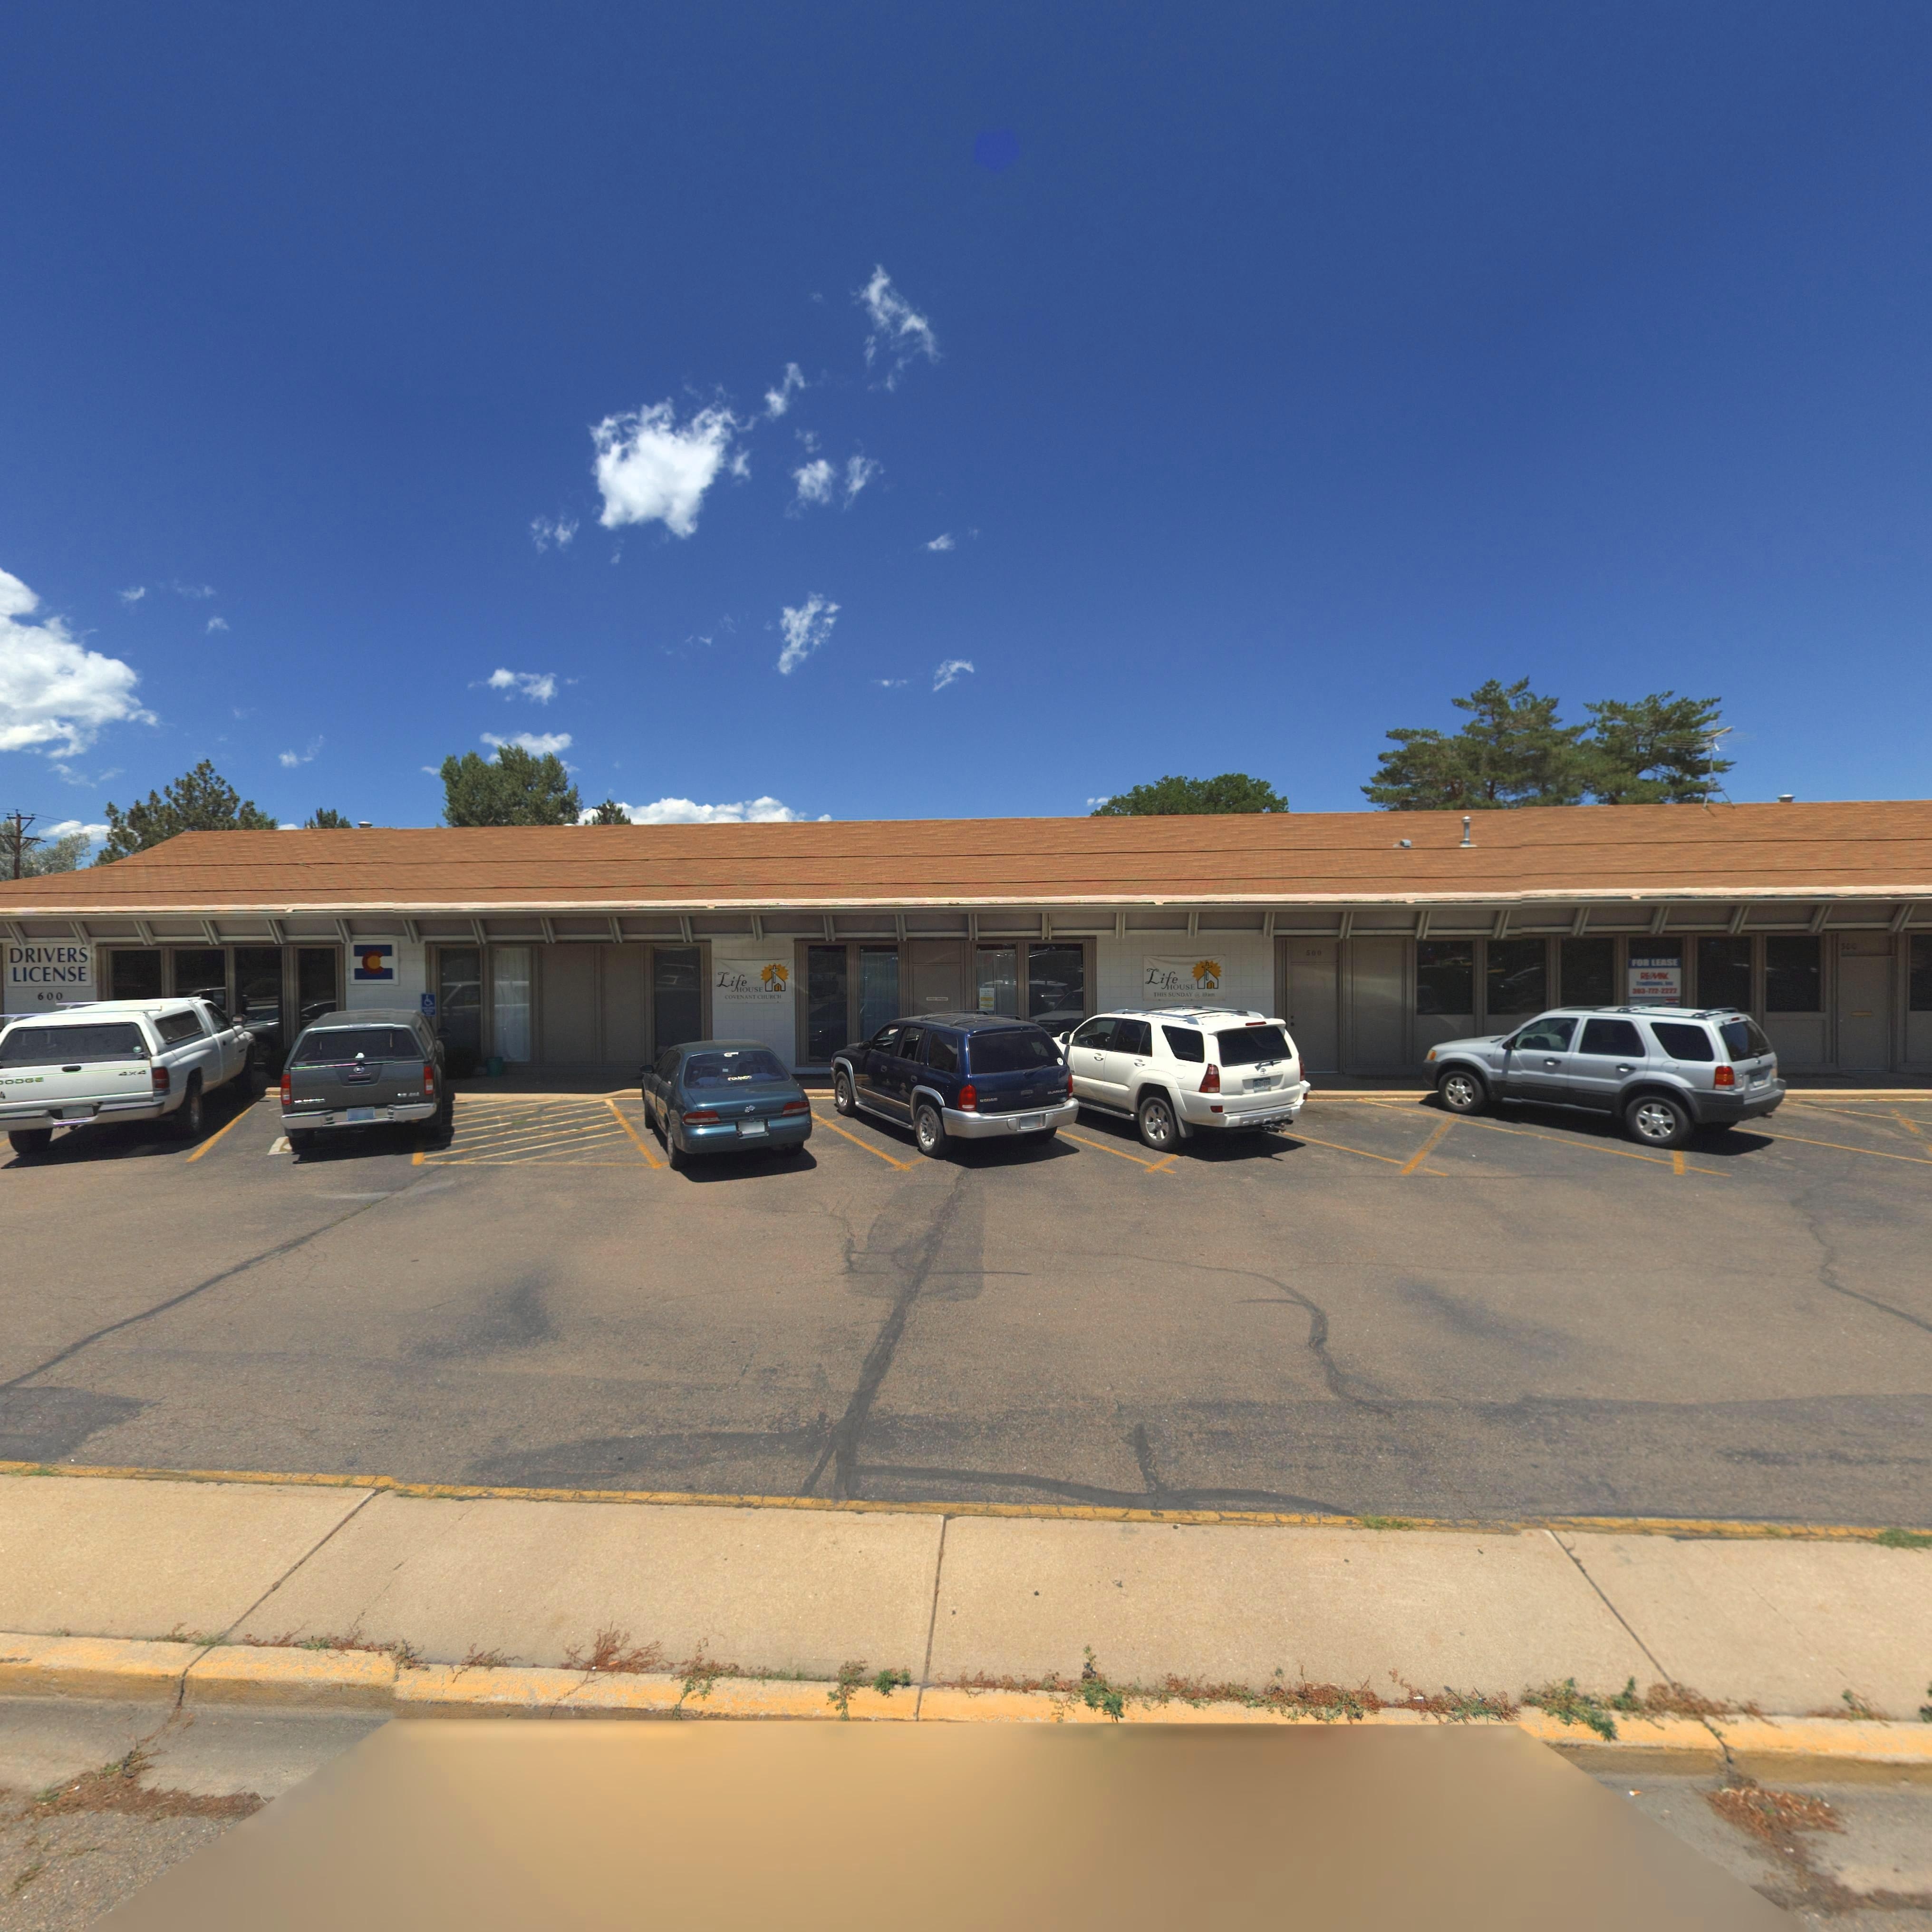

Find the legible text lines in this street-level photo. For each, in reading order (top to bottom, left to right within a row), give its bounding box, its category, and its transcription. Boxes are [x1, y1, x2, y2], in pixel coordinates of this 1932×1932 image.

[1841, 942, 1857, 950] StreetNumber: 500
[9, 946, 88, 964] BusinessName: DRIVERS
[1305, 949, 1322, 956] StreetNumber: 500
[12, 966, 87, 982] BusinessName: LICENSE
[715, 971, 748, 987] BusinessName: Life
[1145, 970, 1178, 984] BusinessName: Life
[1640, 972, 1669, 979] BusinessName: RE*M**
[736, 986, 763, 992] BusinessName: HOUSE
[1166, 983, 1196, 990] BusinessName: HOUSE
[37, 991, 63, 1001] StreetNumber: 600
[724, 994, 782, 999] BusinessName: COVENANT CHURCH